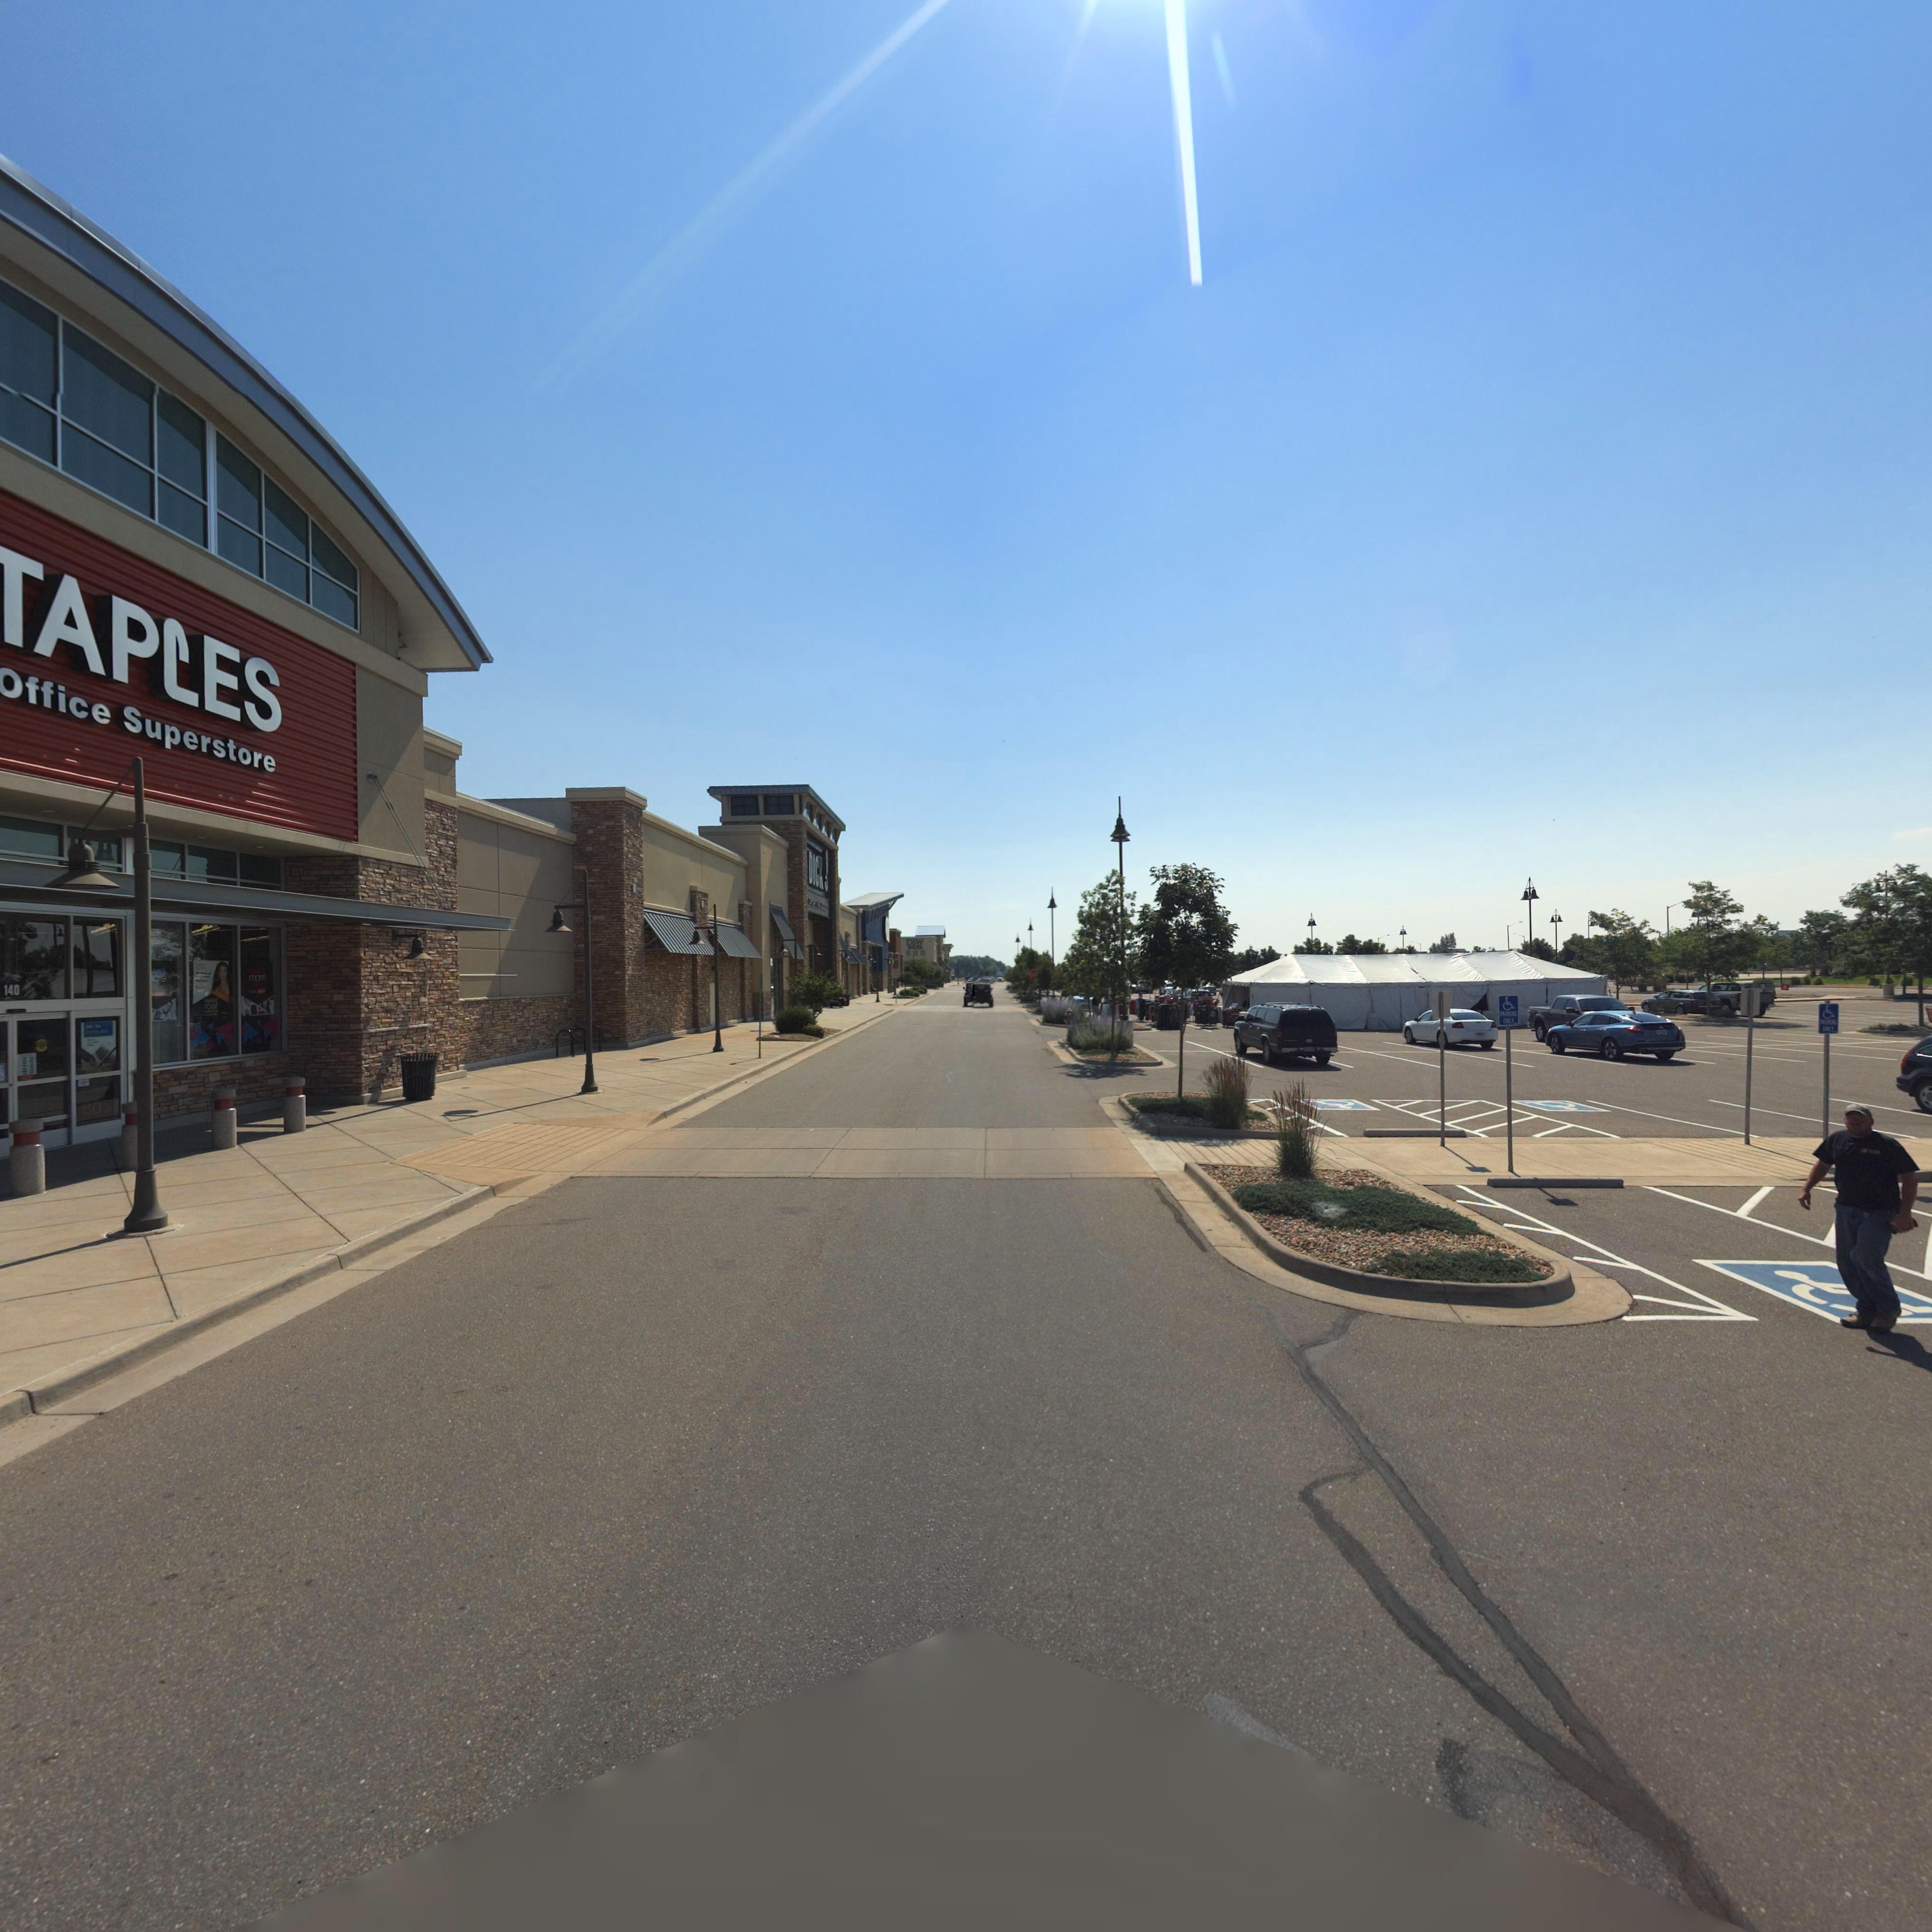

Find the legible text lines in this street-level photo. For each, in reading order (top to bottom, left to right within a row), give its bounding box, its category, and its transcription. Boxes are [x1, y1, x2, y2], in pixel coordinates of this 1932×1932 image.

[30, 573, 284, 735] BusinessName: *PLES
[23, 676, 277, 772] BusinessName: Office Superstore
[808, 849, 829, 893] BusinessName: DICK**
[808, 898, 828, 910] BusinessName: S******* *OO*S
[906, 938, 924, 945] BusinessName: DSW
[908, 944, 922, 949] BusinessName: SHOES
[3, 984, 19, 995] StreetNumber: 140